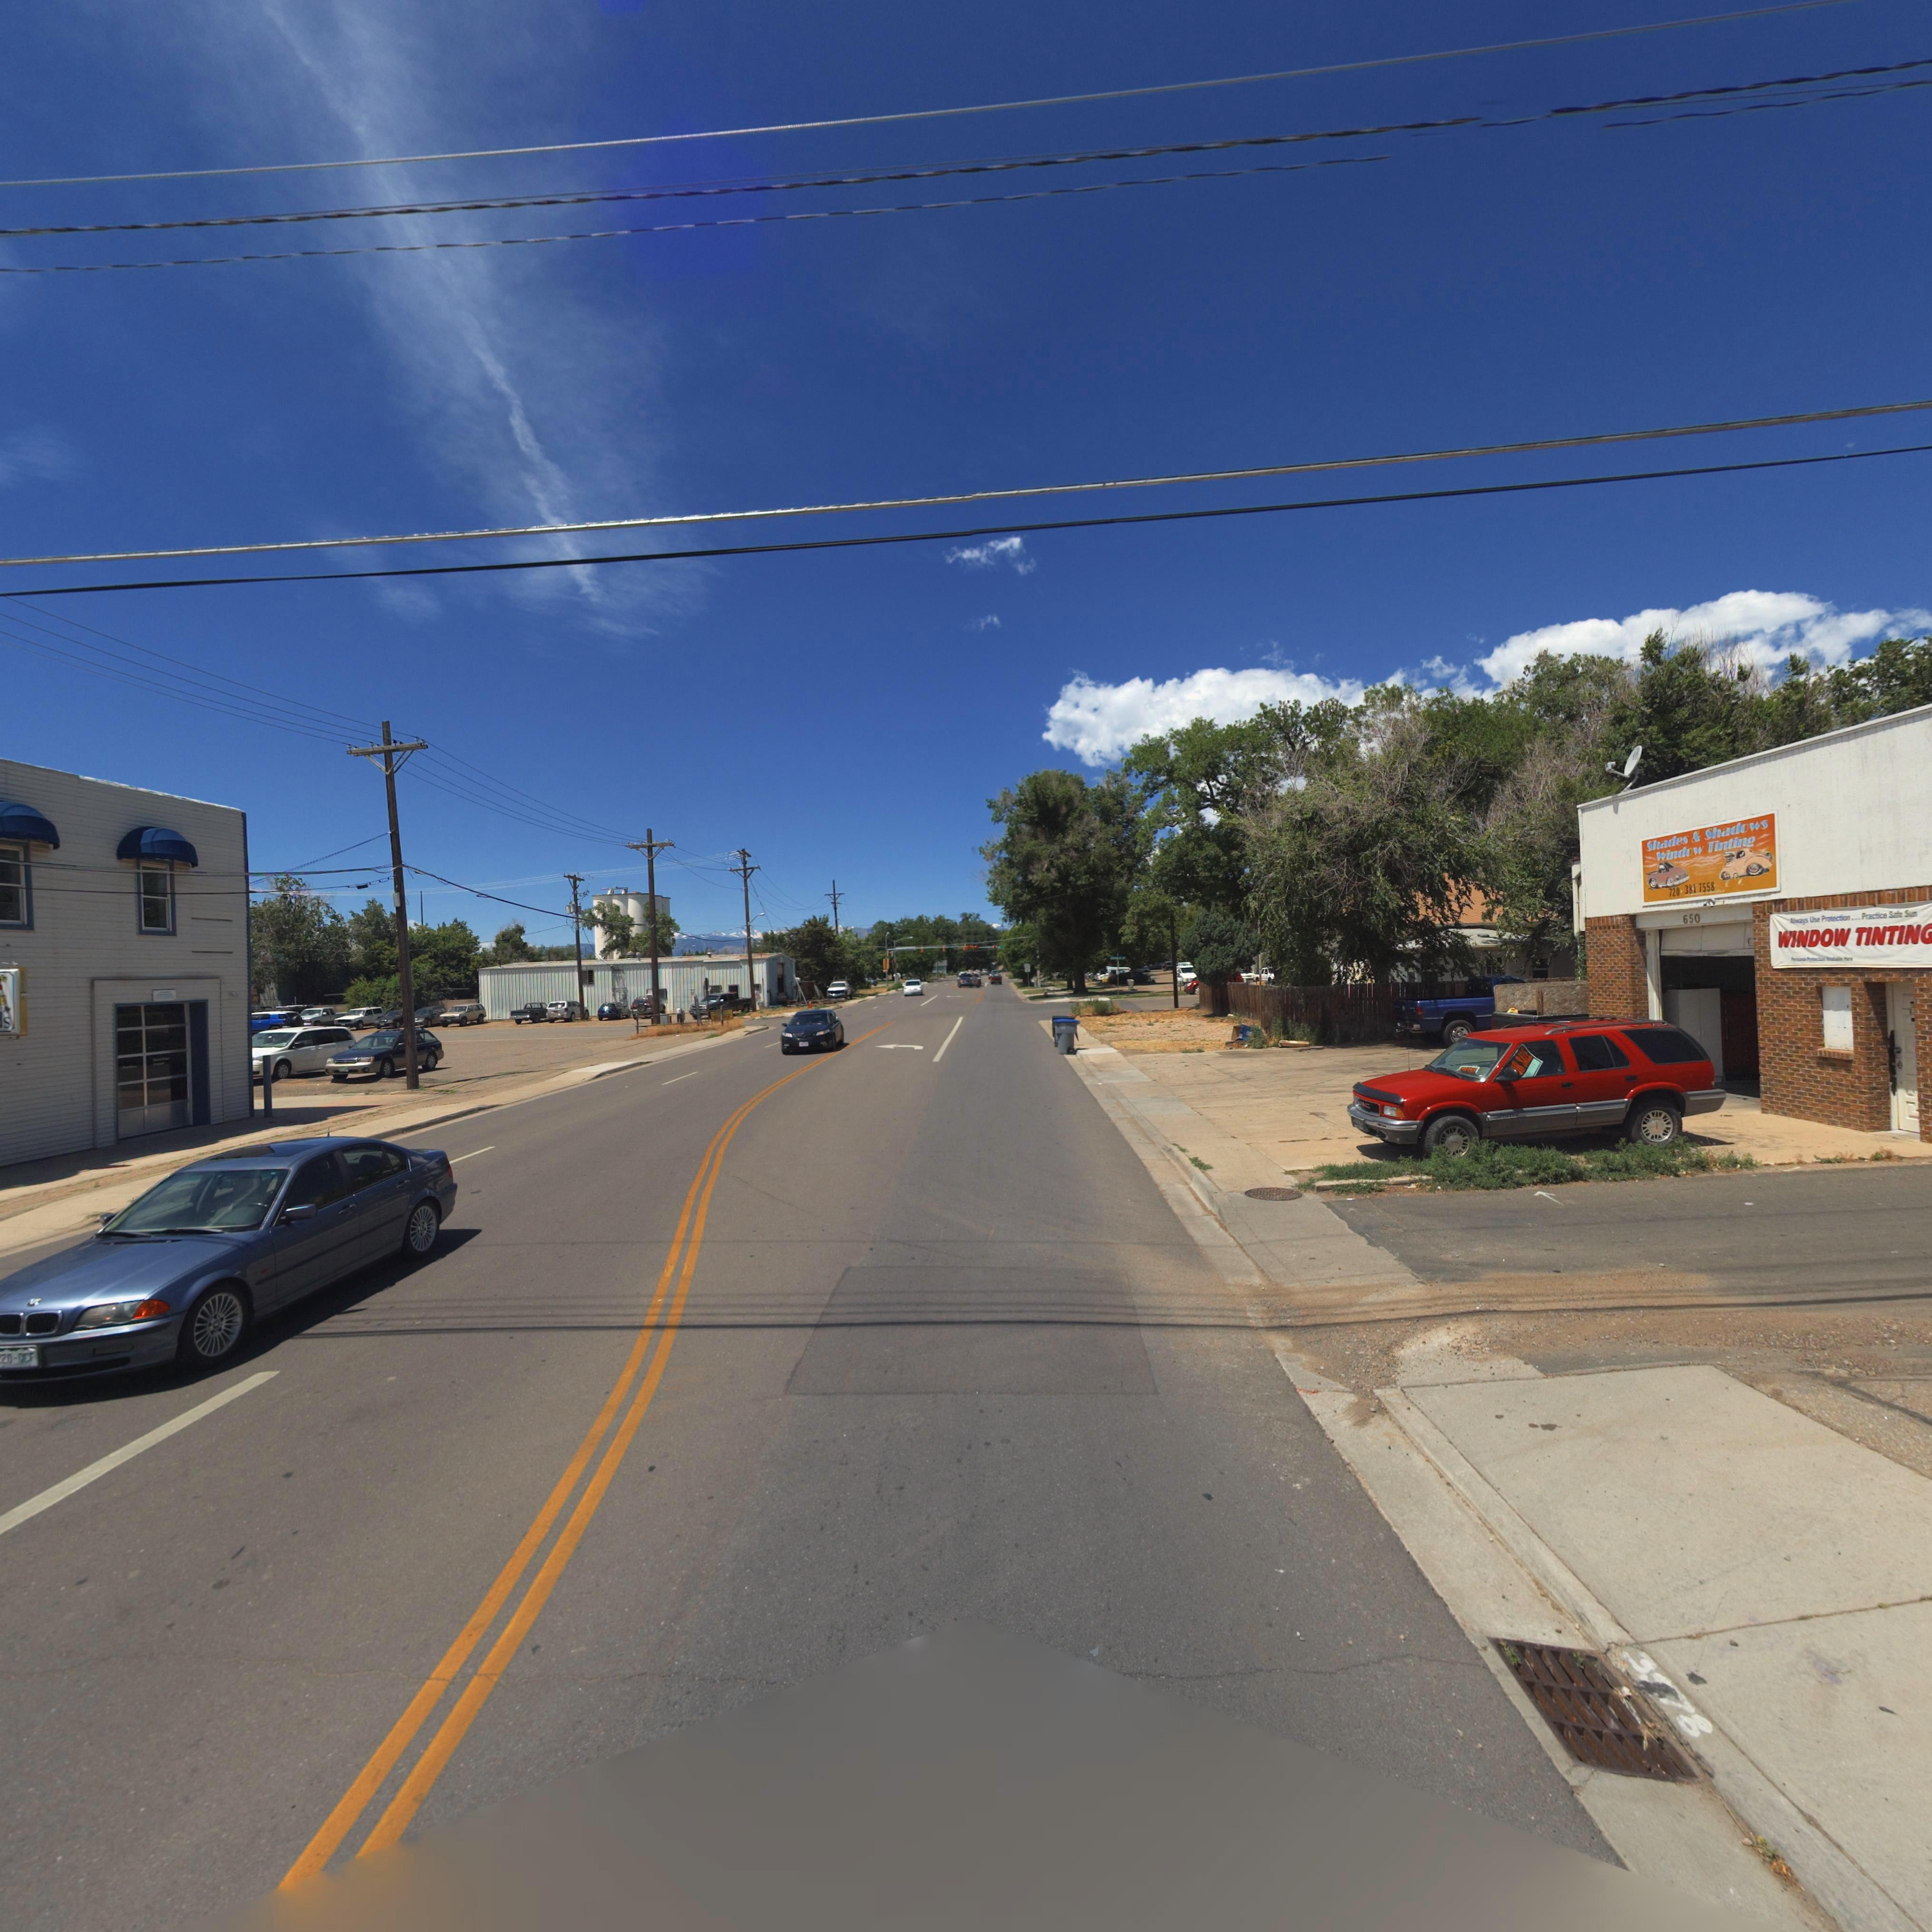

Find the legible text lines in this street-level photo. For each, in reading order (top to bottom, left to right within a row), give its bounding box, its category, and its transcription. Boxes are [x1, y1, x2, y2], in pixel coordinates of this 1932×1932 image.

[1682, 913, 1700, 924] StreetNumber: 650
[3, 1016, 10, 1029] BusinessName: s